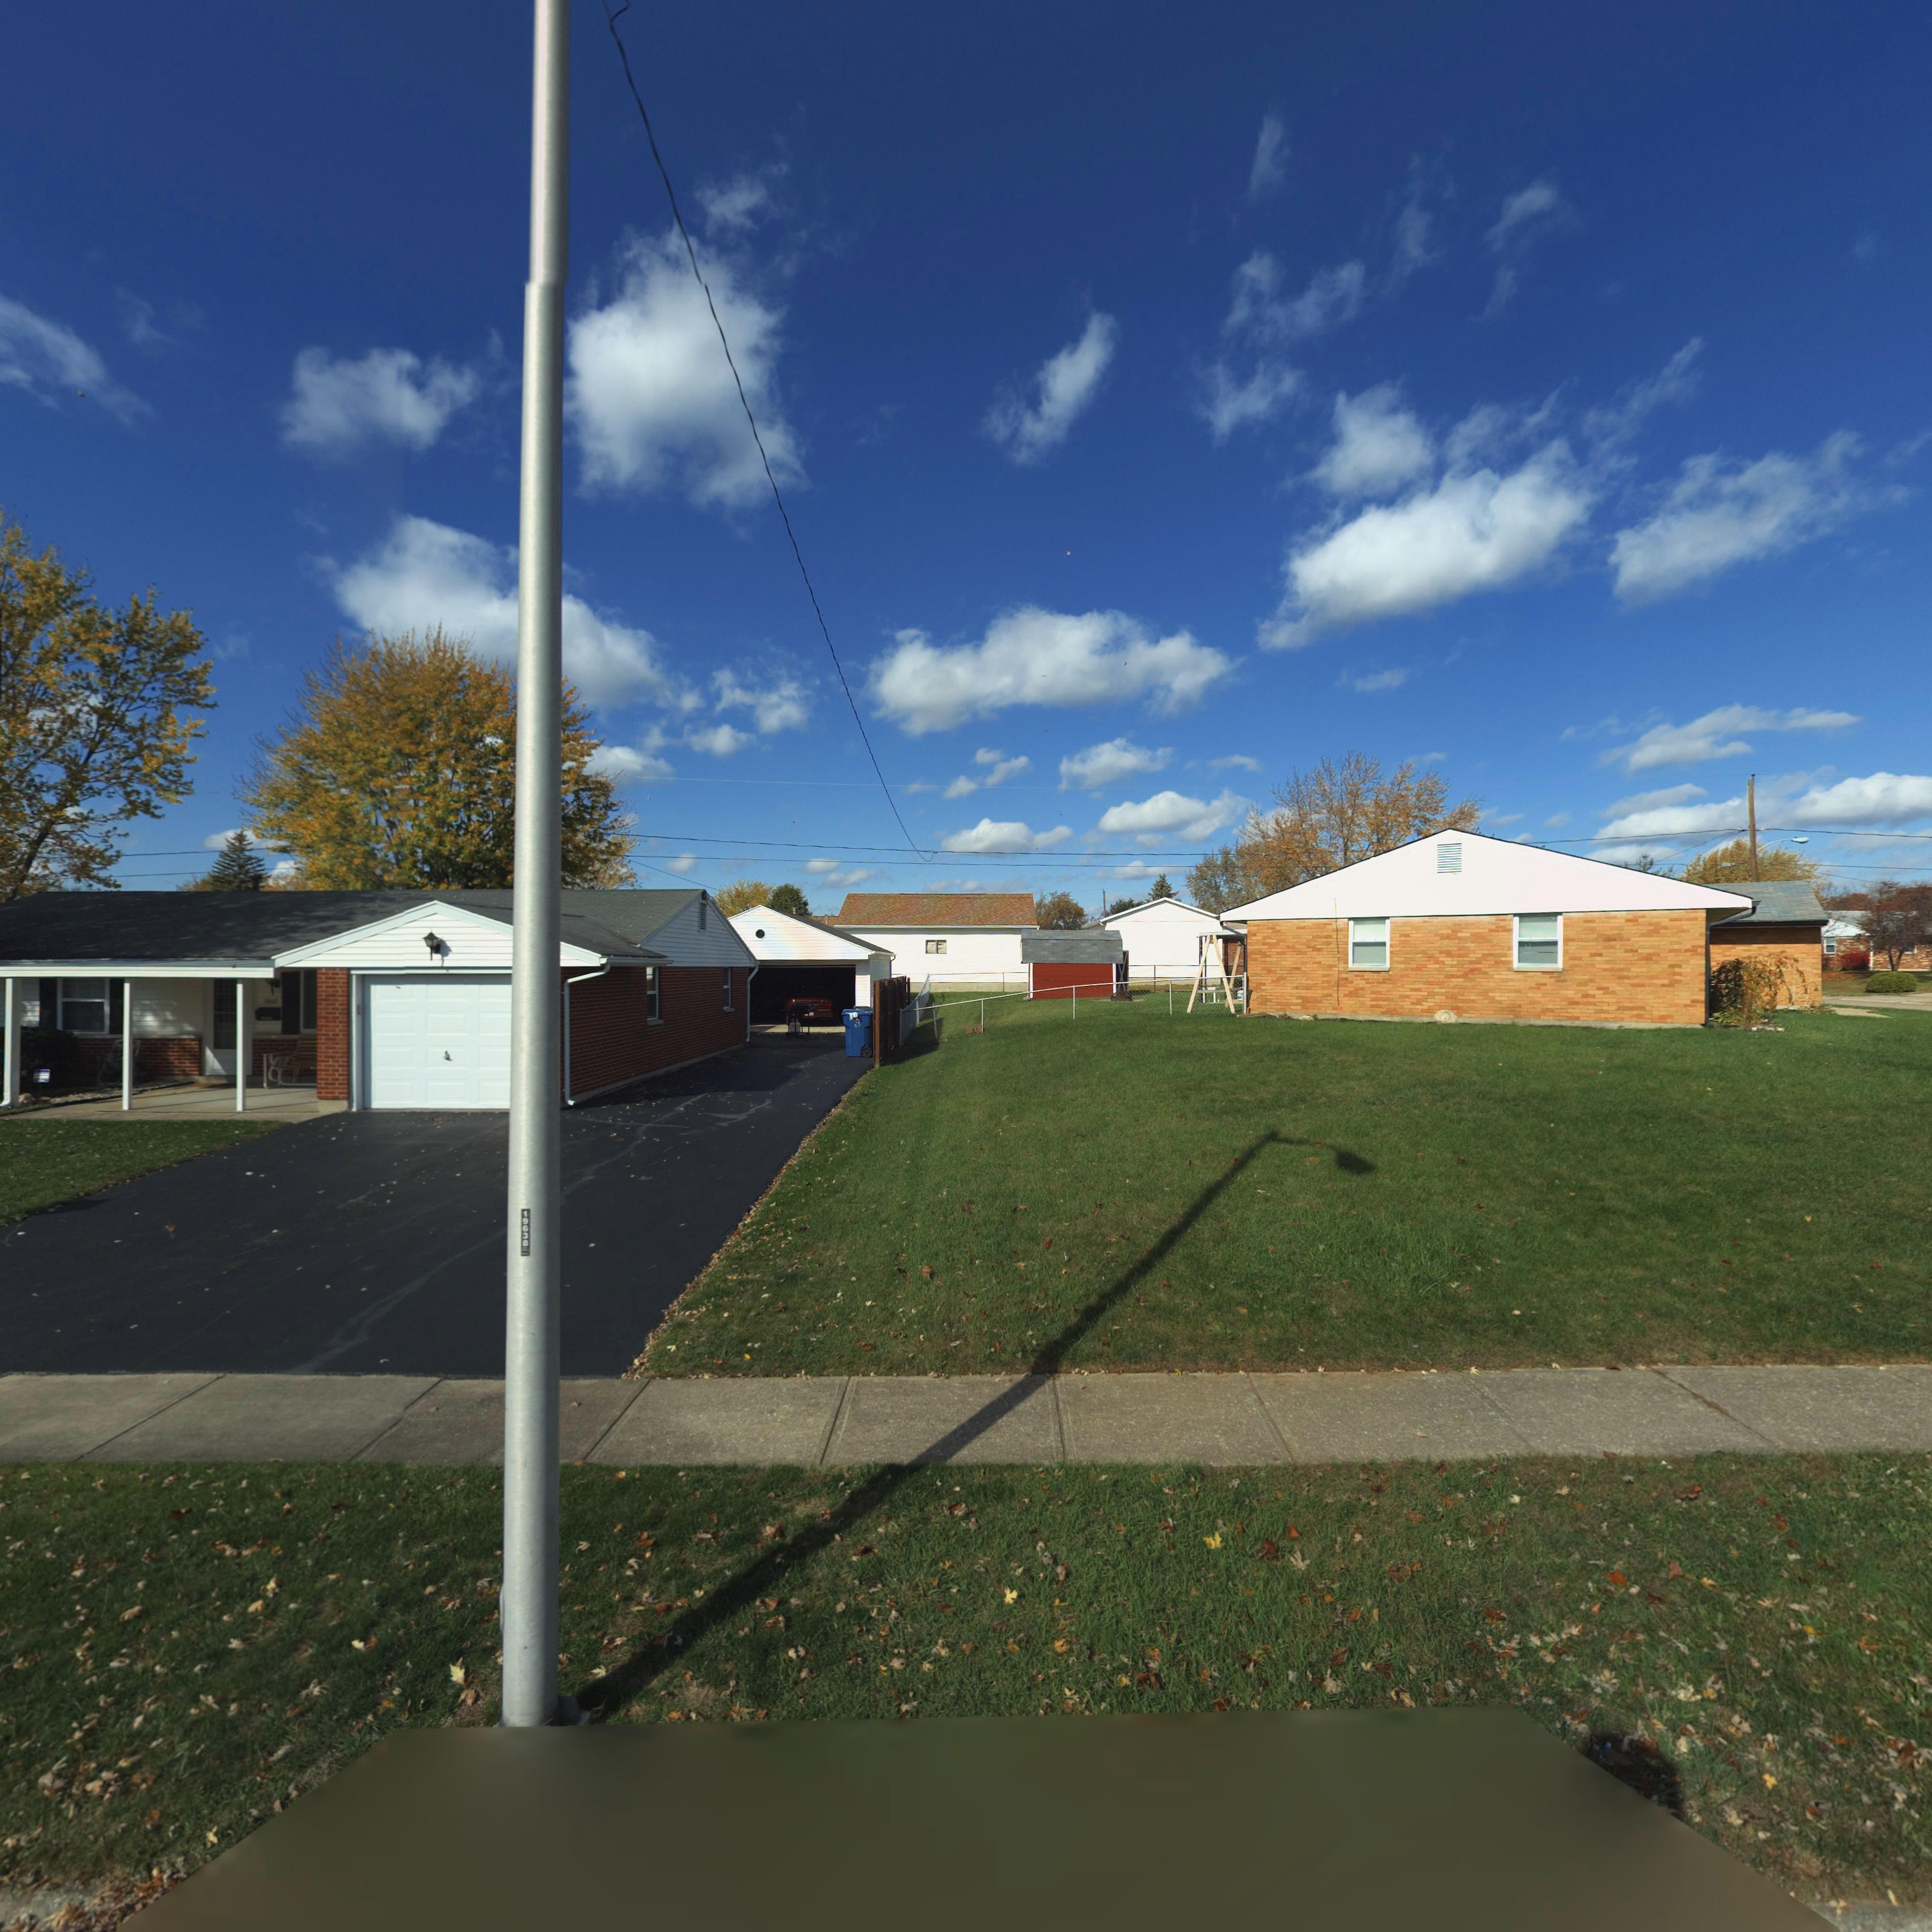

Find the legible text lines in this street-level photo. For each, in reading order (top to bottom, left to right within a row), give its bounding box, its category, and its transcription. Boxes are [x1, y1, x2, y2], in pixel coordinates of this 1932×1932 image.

[263, 998, 279, 1005] StreetNumber: 7647